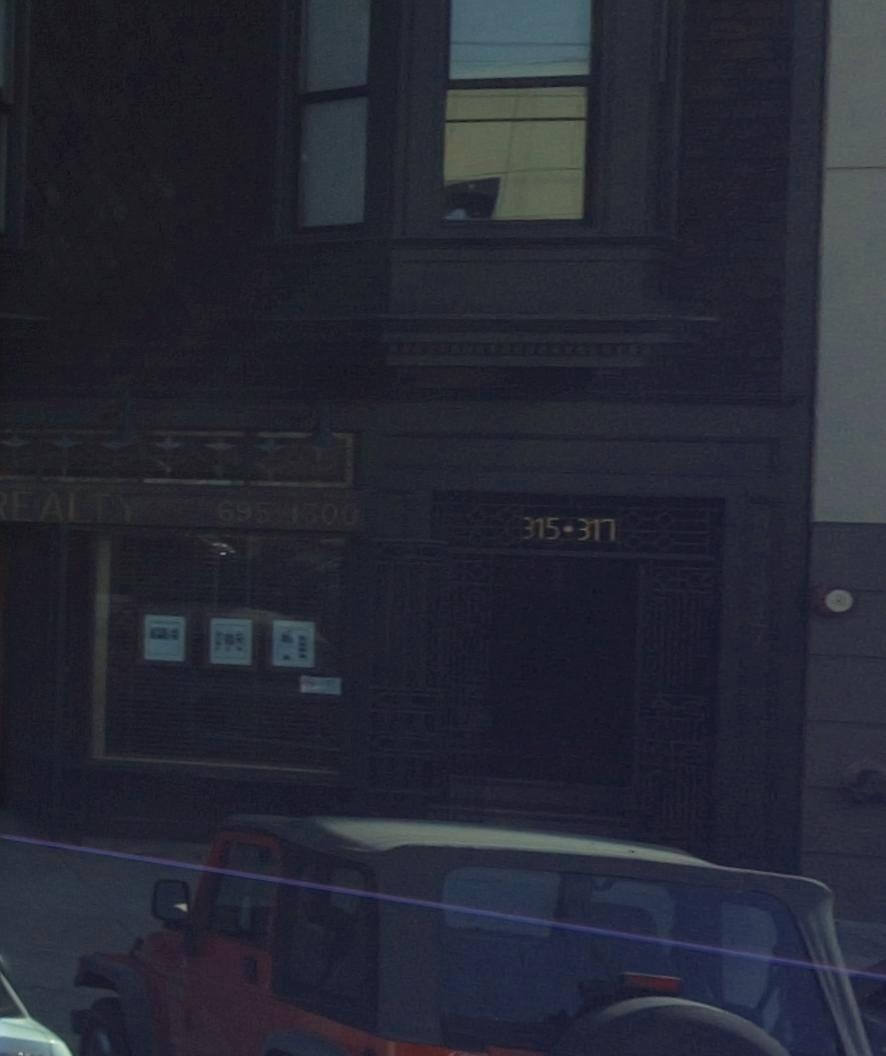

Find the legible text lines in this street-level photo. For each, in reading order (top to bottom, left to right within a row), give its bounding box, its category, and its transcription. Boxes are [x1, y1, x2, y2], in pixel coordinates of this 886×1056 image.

[9, 489, 142, 526] None: EALTY
[217, 499, 362, 527] None: 695 1300
[522, 516, 563, 541] StreetNumber: 315
[576, 516, 619, 543] StreetNumber: 317